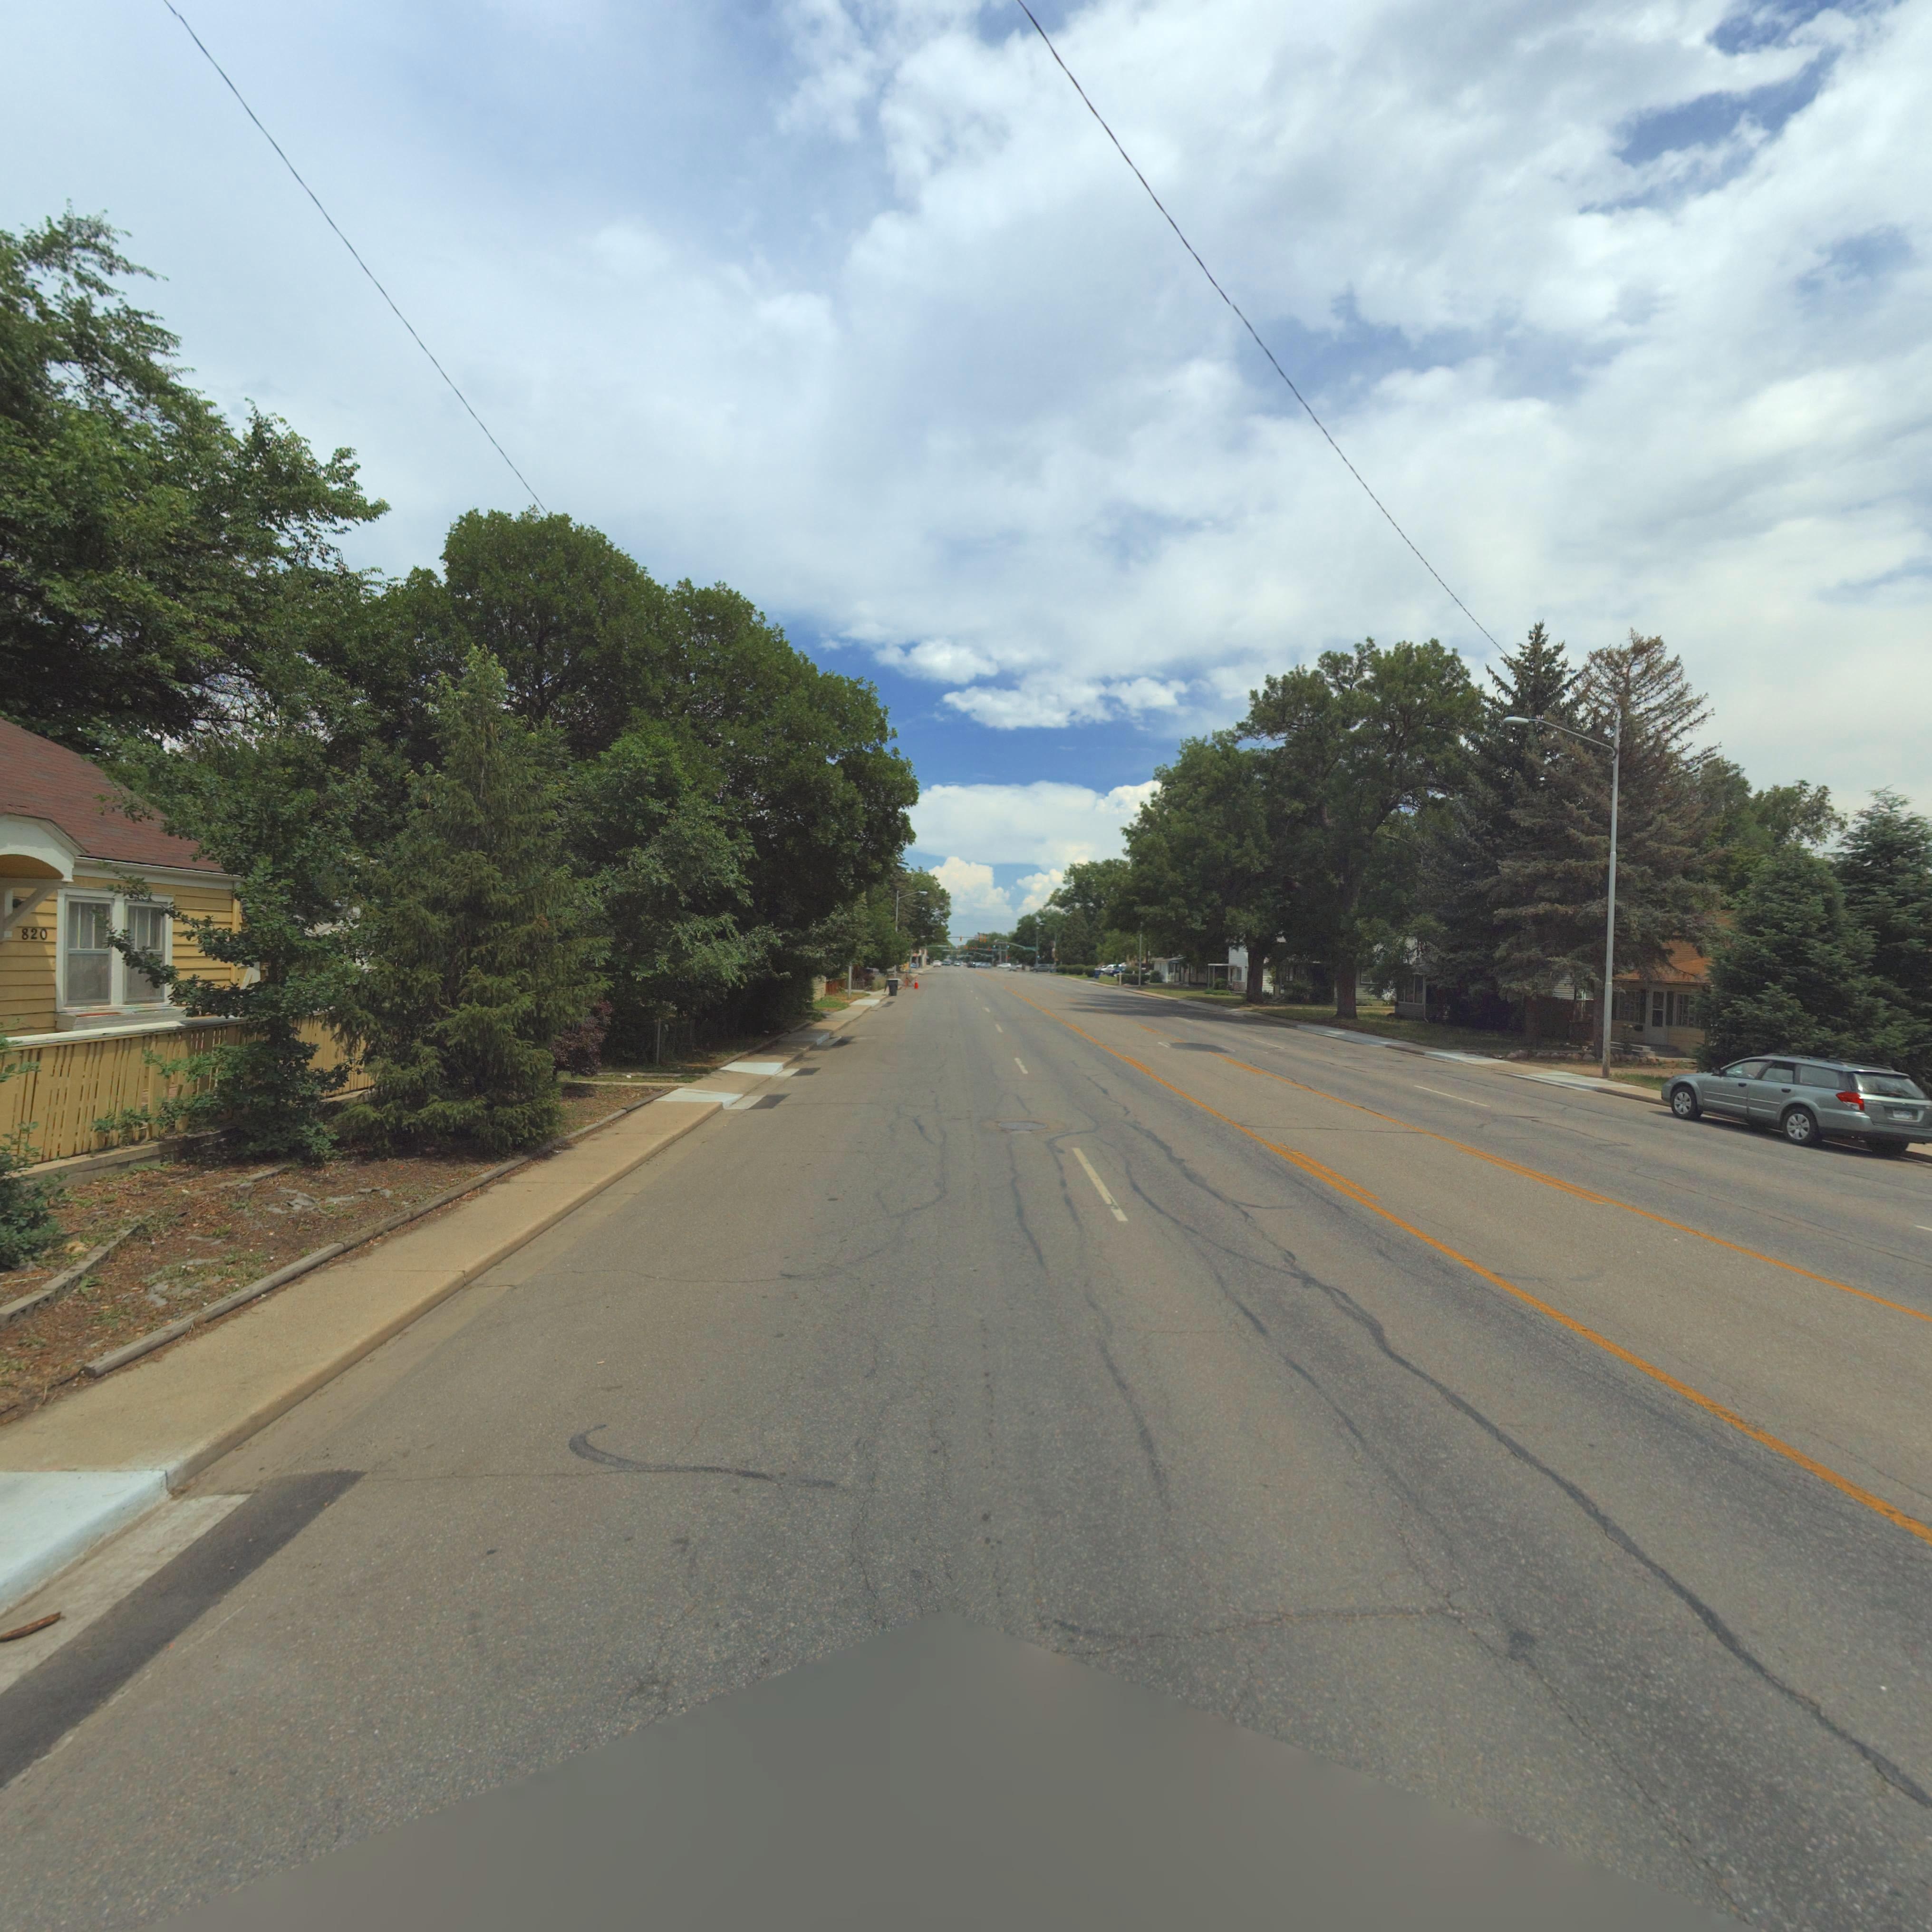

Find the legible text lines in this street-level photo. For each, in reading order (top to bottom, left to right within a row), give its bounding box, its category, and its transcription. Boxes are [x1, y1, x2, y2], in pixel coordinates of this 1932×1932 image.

[21, 927, 48, 940] StreetNumber: 820